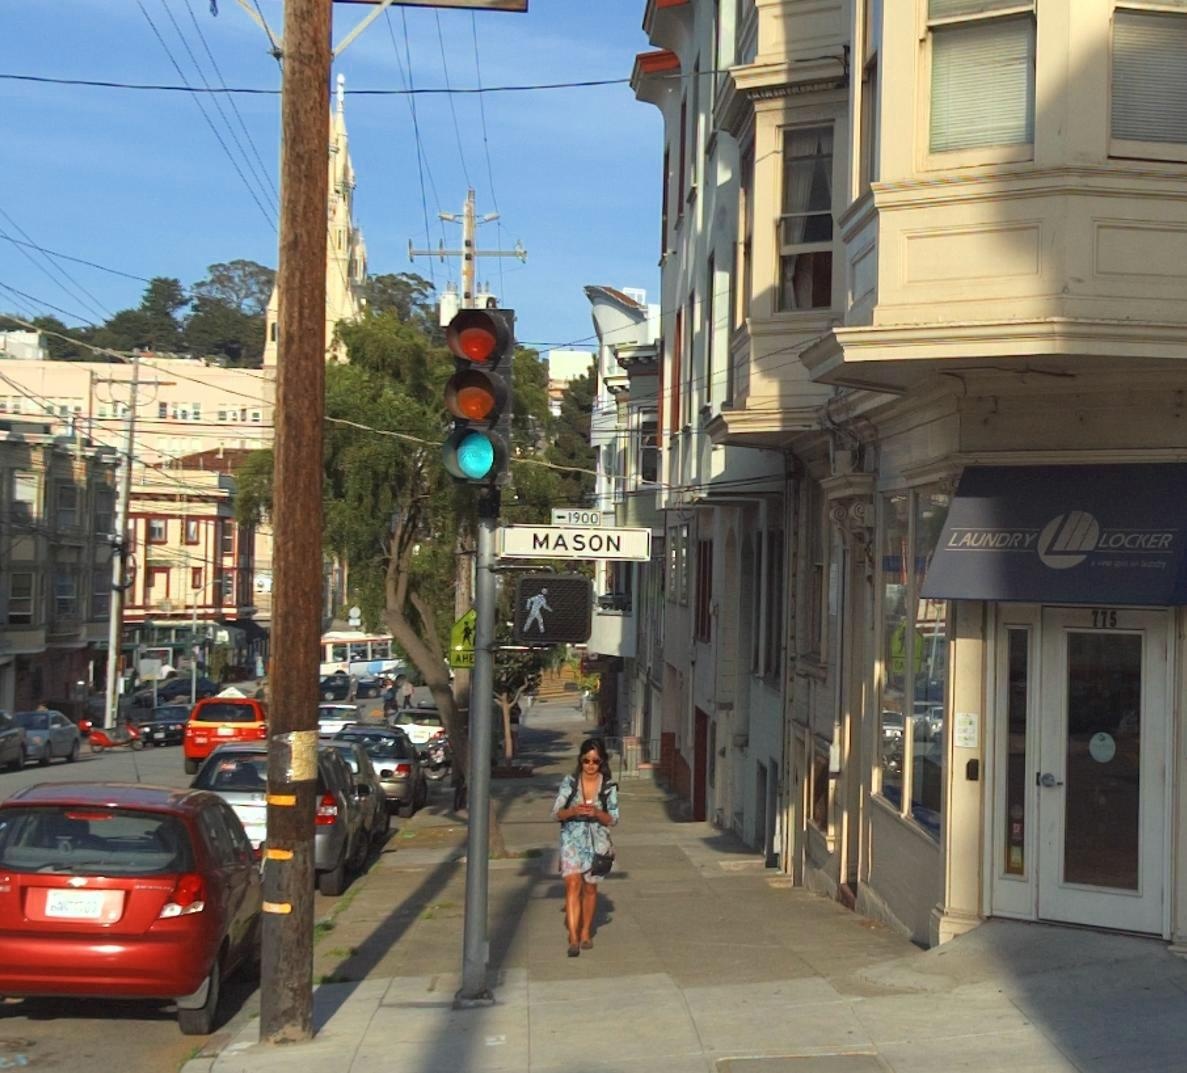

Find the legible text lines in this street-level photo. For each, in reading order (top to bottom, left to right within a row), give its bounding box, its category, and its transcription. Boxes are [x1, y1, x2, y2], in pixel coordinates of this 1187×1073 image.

[553, 510, 600, 526] StreetNumberRange: <-1900
[531, 530, 623, 554] StreetName: MASON
[945, 530, 1040, 549] BusinessName: LAUNDRY
[1095, 530, 1175, 551] BusinessName: LOCKER
[1089, 608, 1119, 630] StreetNumber: 775
[452, 651, 477, 666] None: AHE